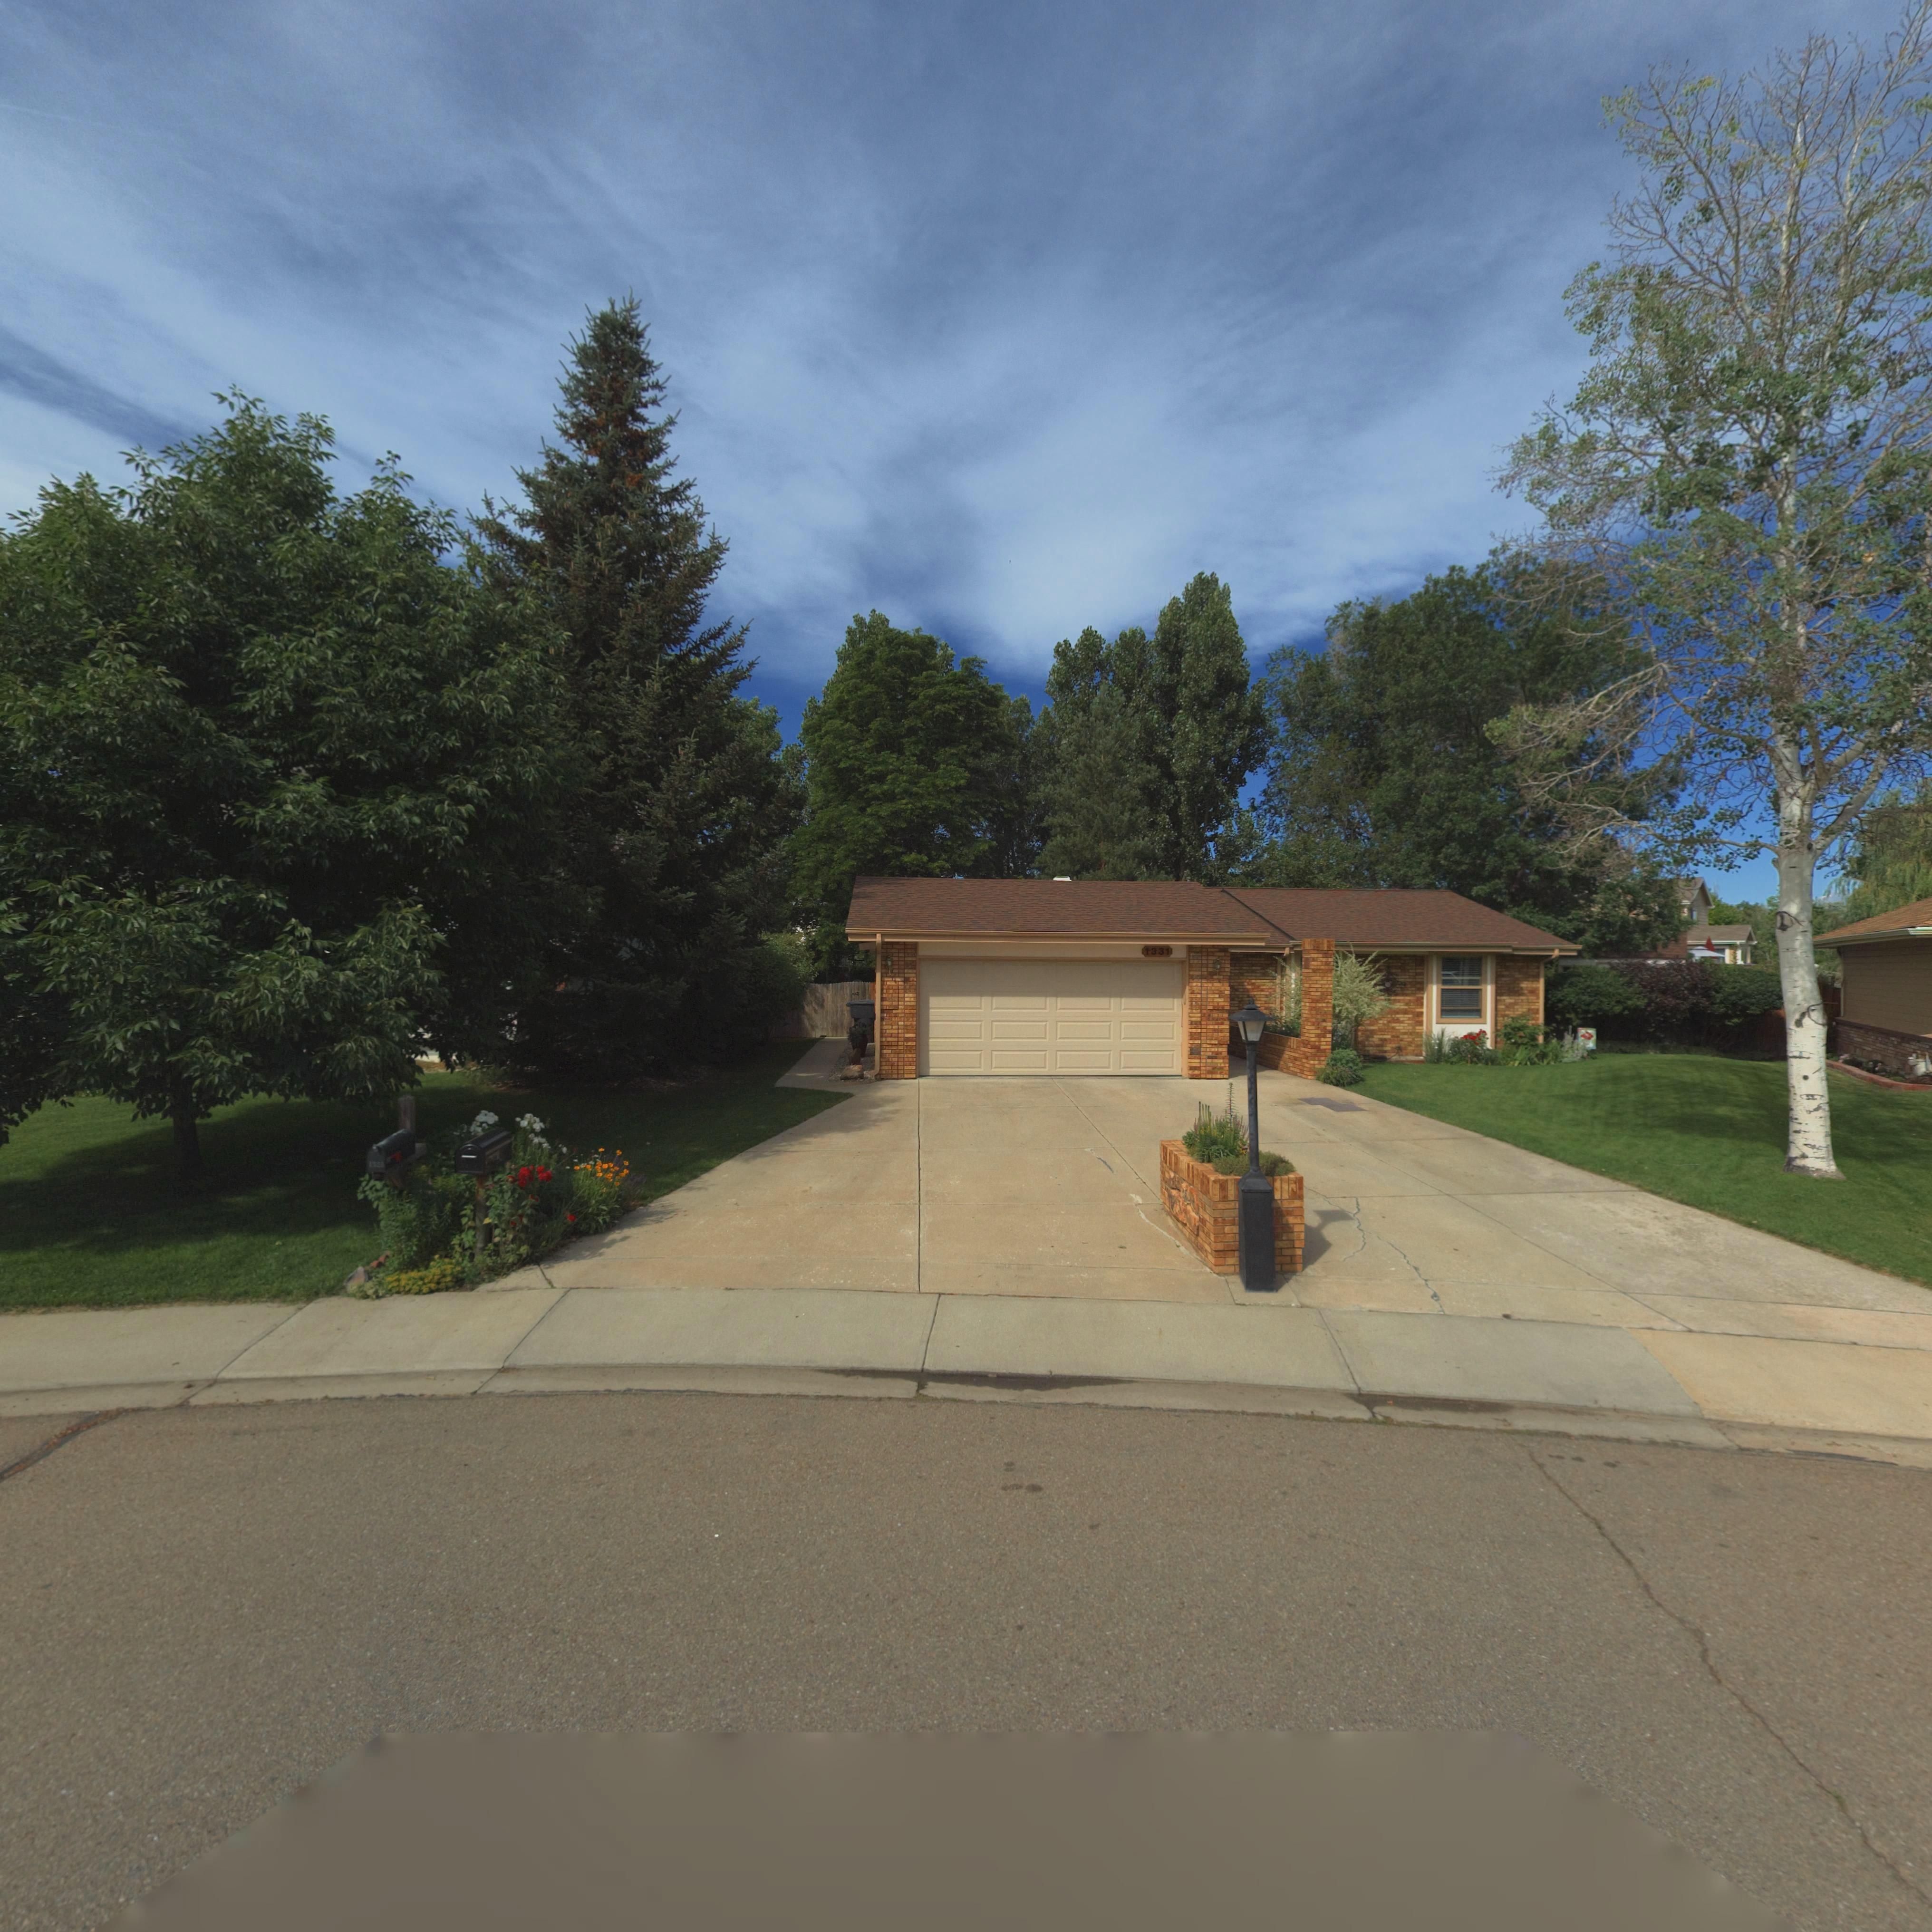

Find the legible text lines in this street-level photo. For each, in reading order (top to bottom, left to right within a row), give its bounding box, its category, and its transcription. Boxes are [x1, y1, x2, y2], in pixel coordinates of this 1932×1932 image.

[1144, 947, 1169, 956] StreetNumber: 1331
[368, 1160, 384, 1168] StreetNumber: 132*